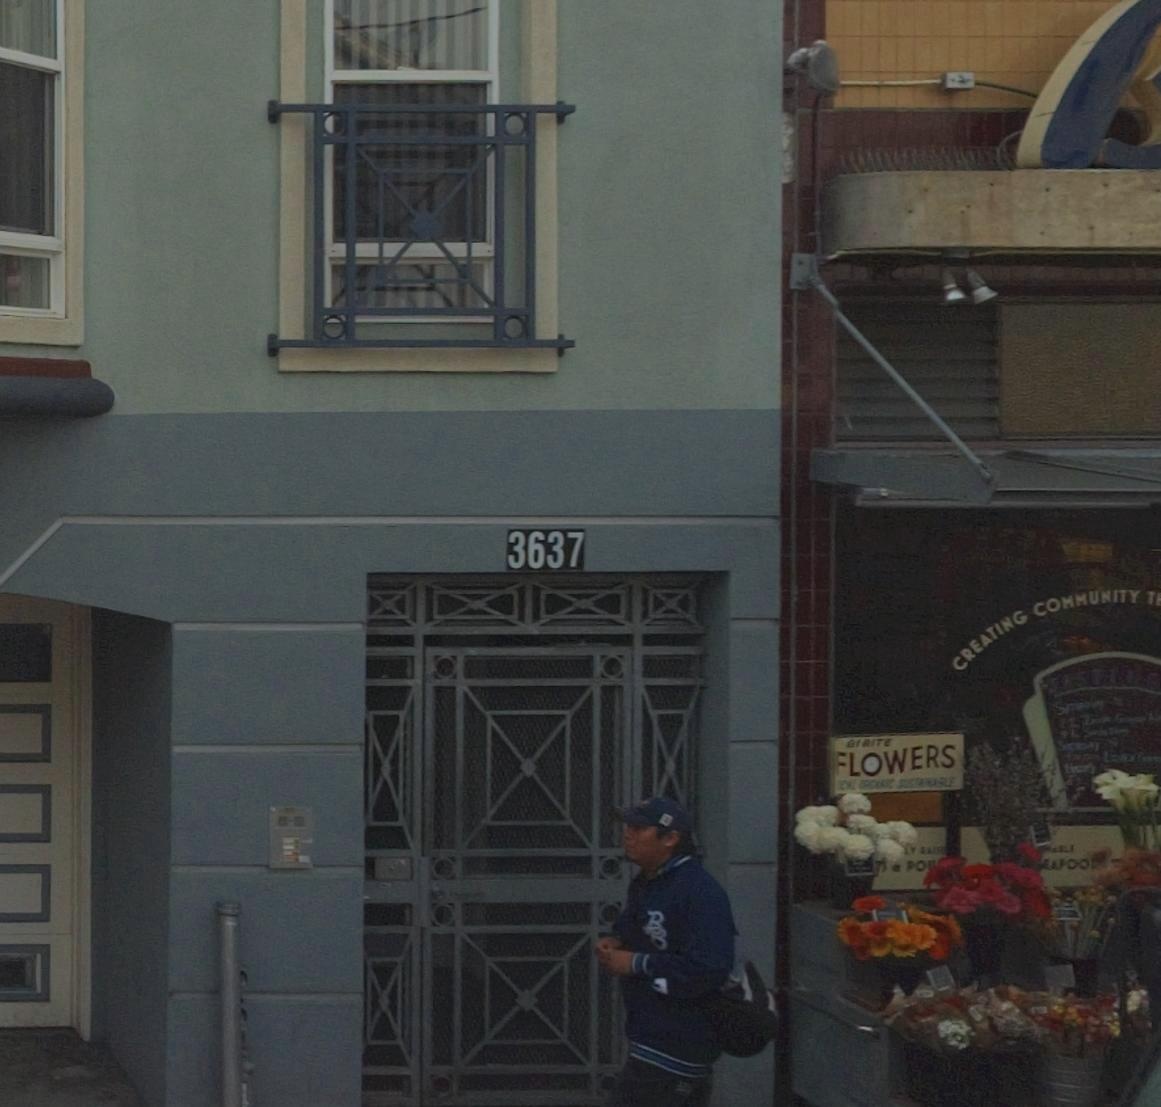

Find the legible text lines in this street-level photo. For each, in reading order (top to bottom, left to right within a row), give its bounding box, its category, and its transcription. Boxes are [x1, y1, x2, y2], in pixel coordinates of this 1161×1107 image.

[507, 529, 586, 570] StreetNumber: 3637
[951, 586, 1159, 671] None: CREATING COMMUNITY
[861, 737, 893, 749] BusinessName: RITE
[834, 744, 958, 778] BusinessName: FLOWERS
[905, 859, 927, 873] None: PO
[1042, 857, 1092, 872] None: EAFOO